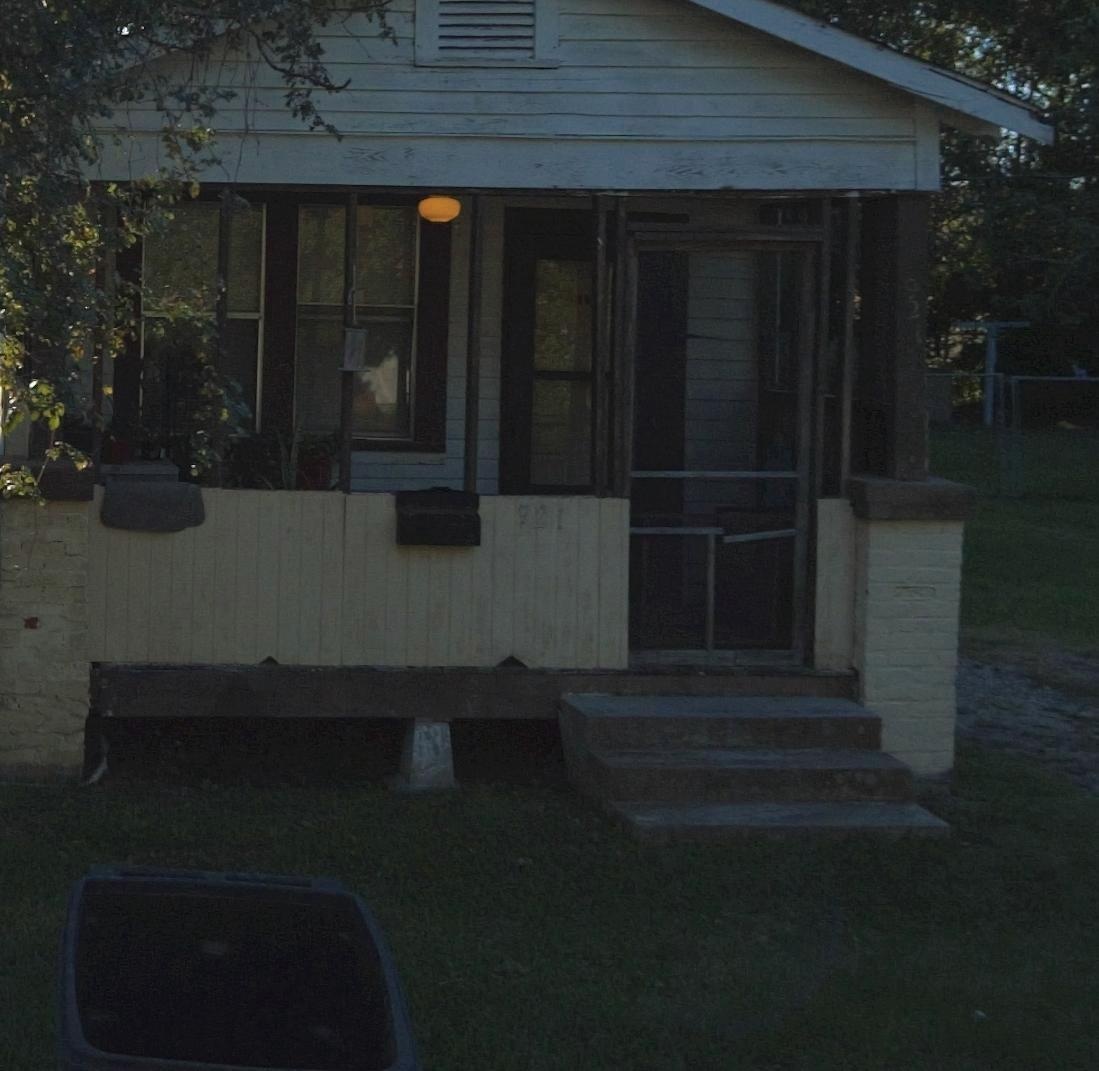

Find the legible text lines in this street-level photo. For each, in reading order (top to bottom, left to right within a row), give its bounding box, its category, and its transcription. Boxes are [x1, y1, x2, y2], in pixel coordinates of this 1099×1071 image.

[513, 501, 568, 533] StreetNumber: 921